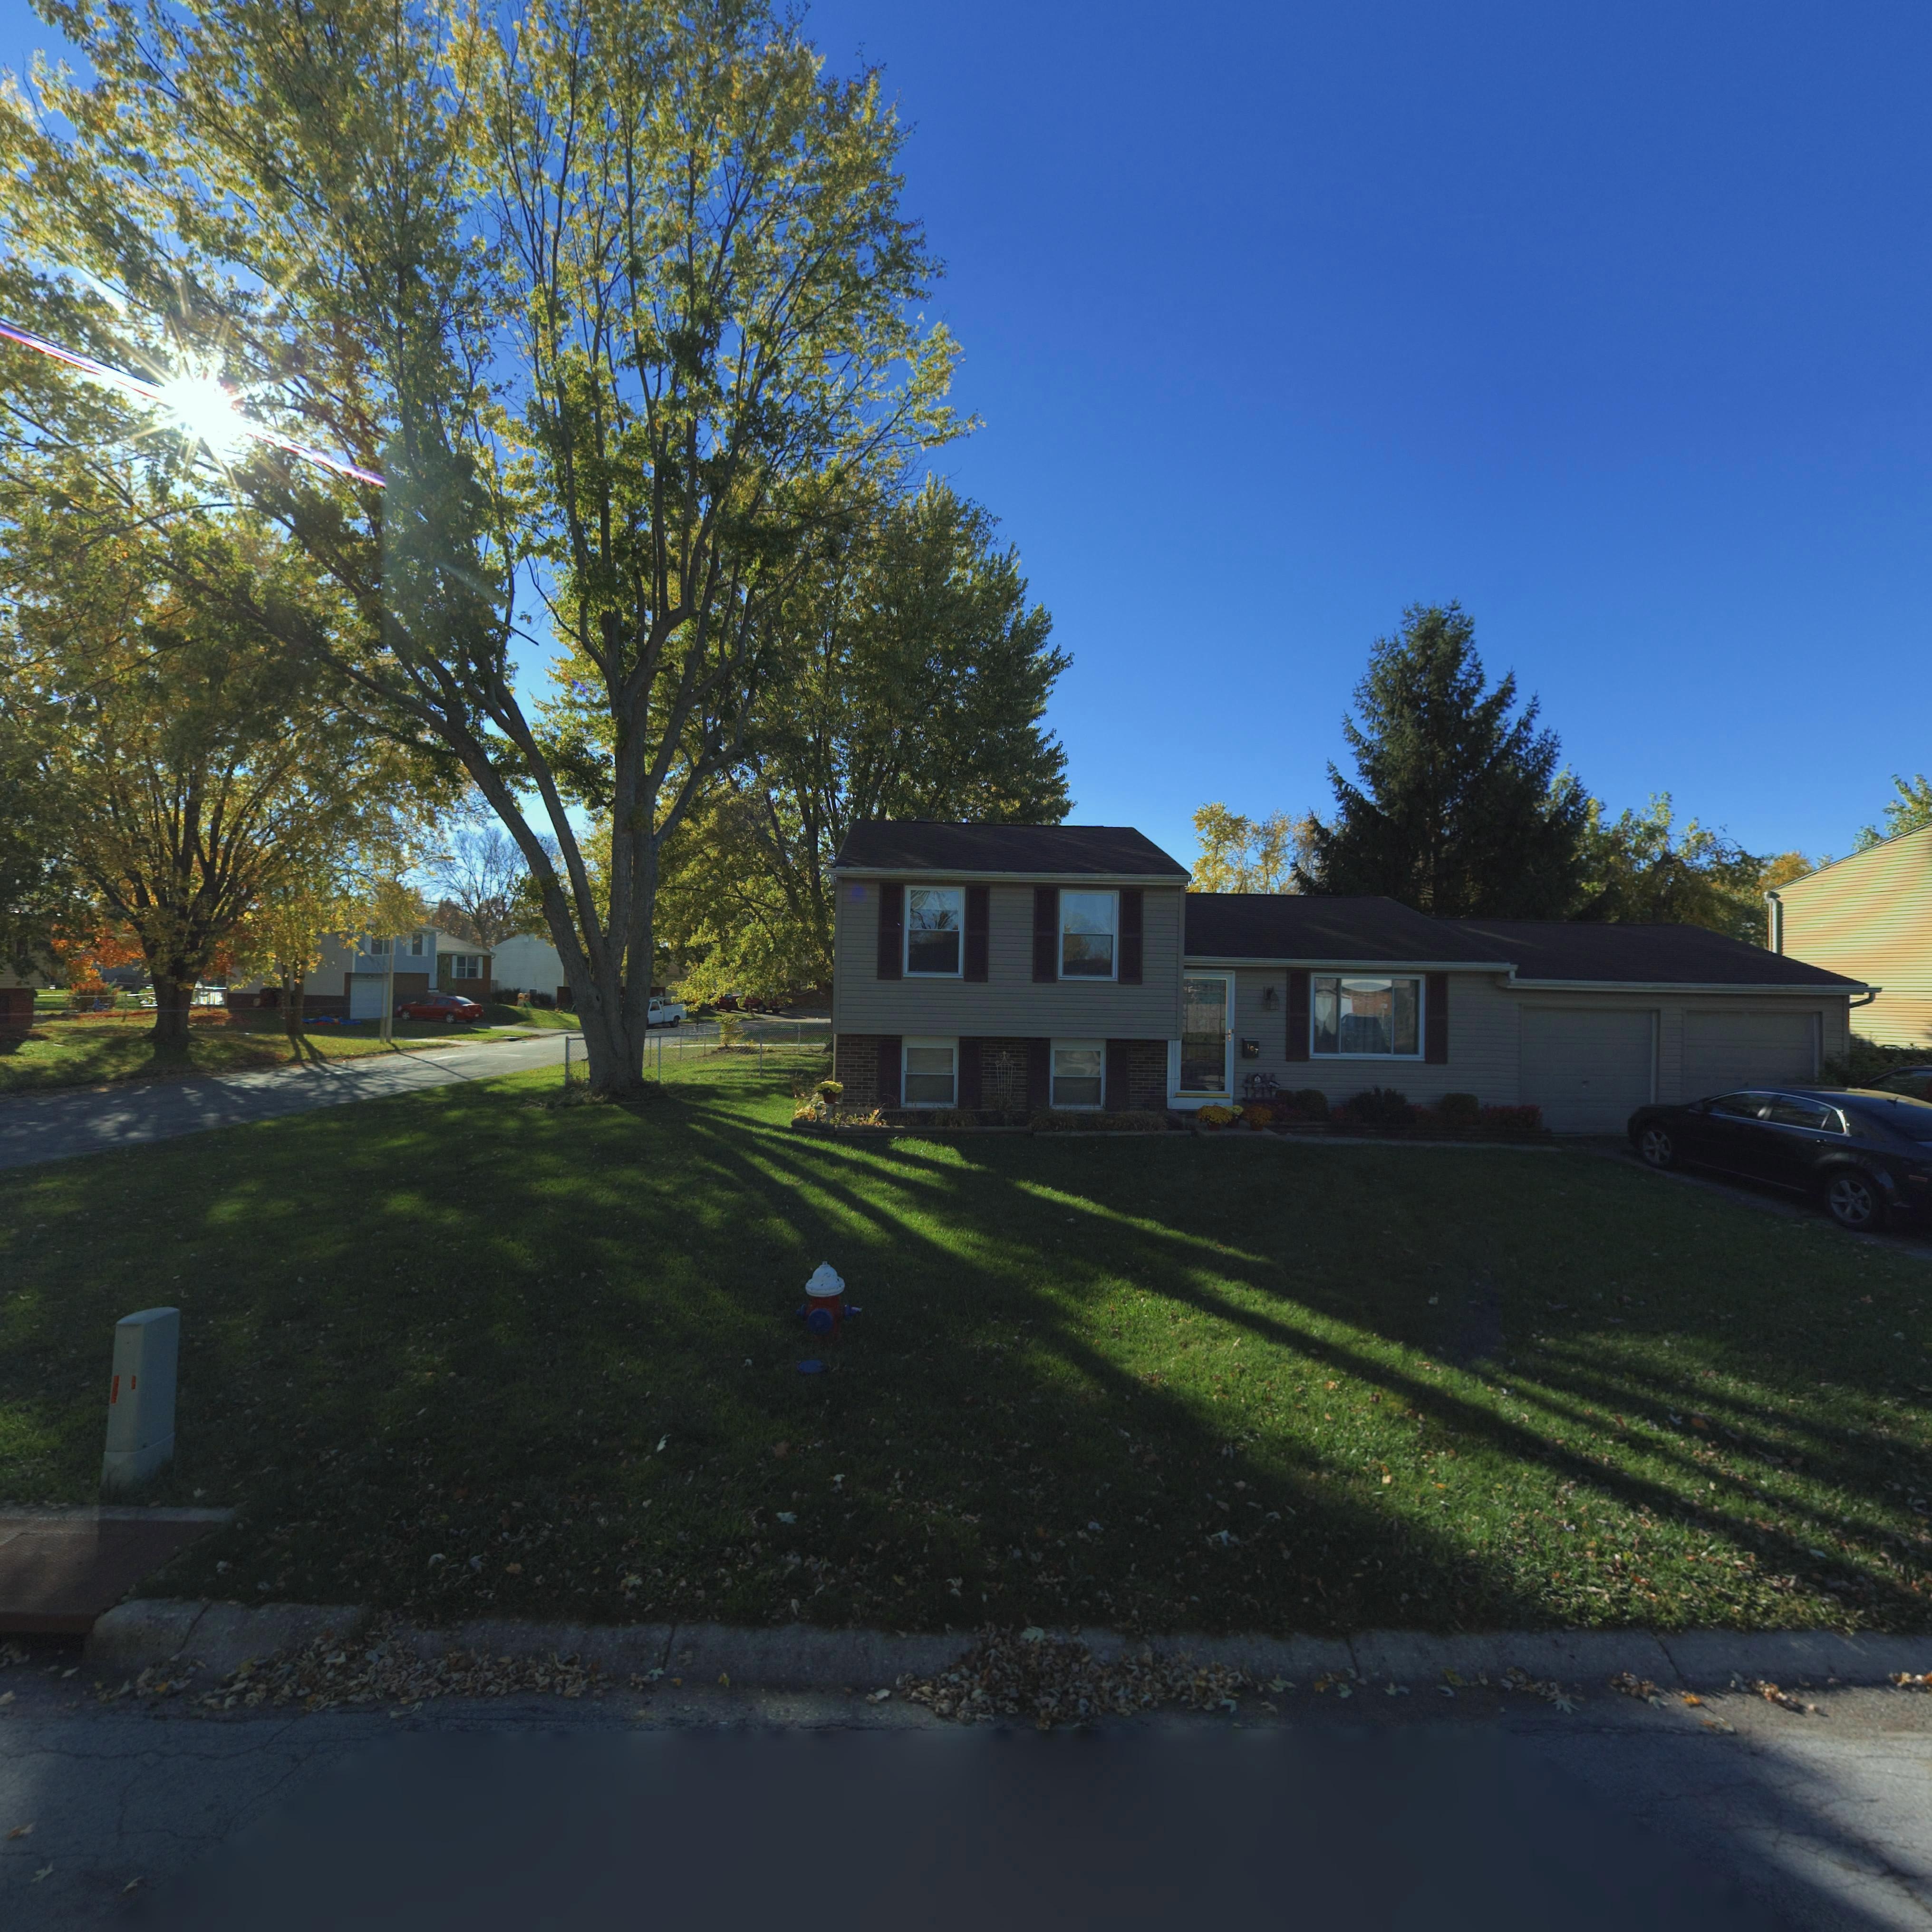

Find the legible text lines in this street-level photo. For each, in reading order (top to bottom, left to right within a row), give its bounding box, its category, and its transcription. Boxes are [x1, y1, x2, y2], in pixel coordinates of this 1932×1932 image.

[1246, 1043, 1259, 1055] StreetNumber: 107